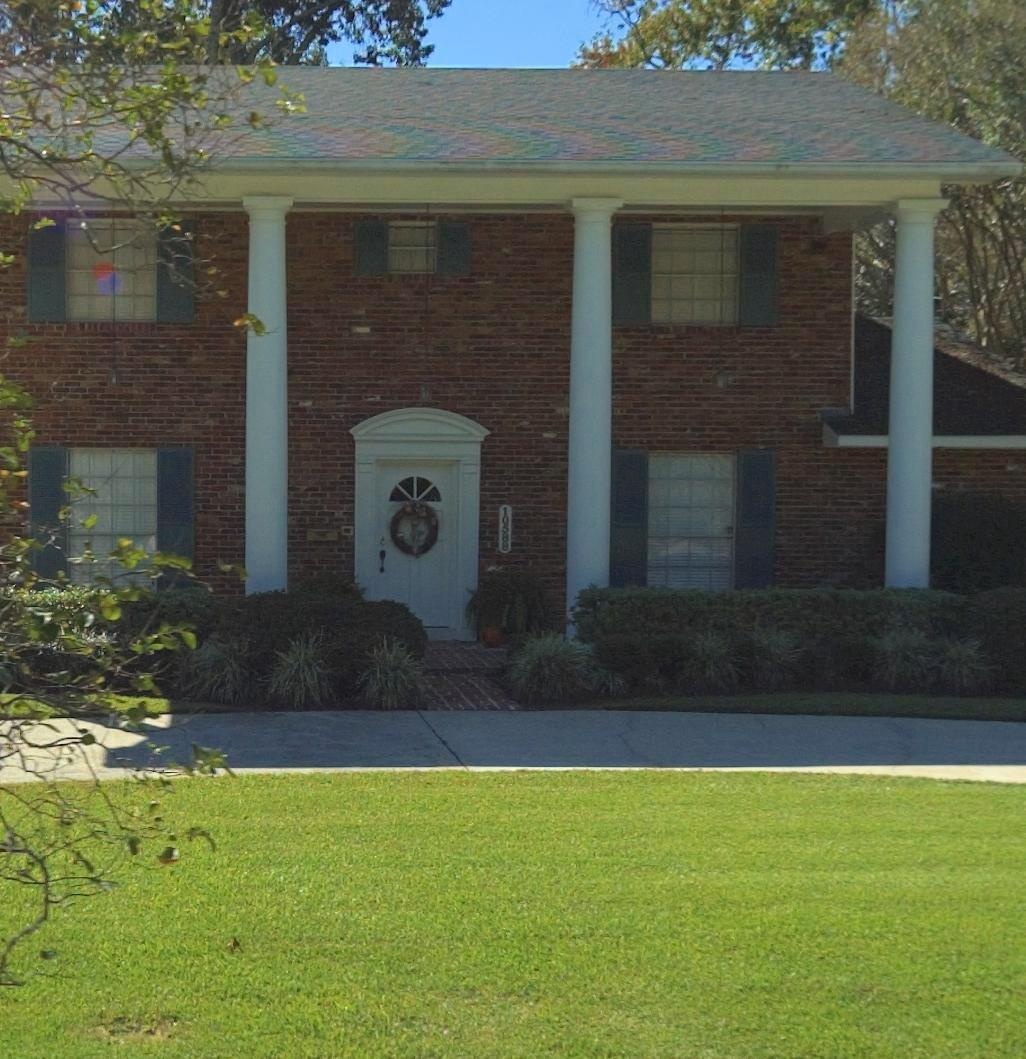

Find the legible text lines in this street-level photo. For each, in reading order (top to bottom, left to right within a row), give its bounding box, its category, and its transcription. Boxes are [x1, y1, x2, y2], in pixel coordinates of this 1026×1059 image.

[500, 505, 511, 553] StreetNumber: 10588